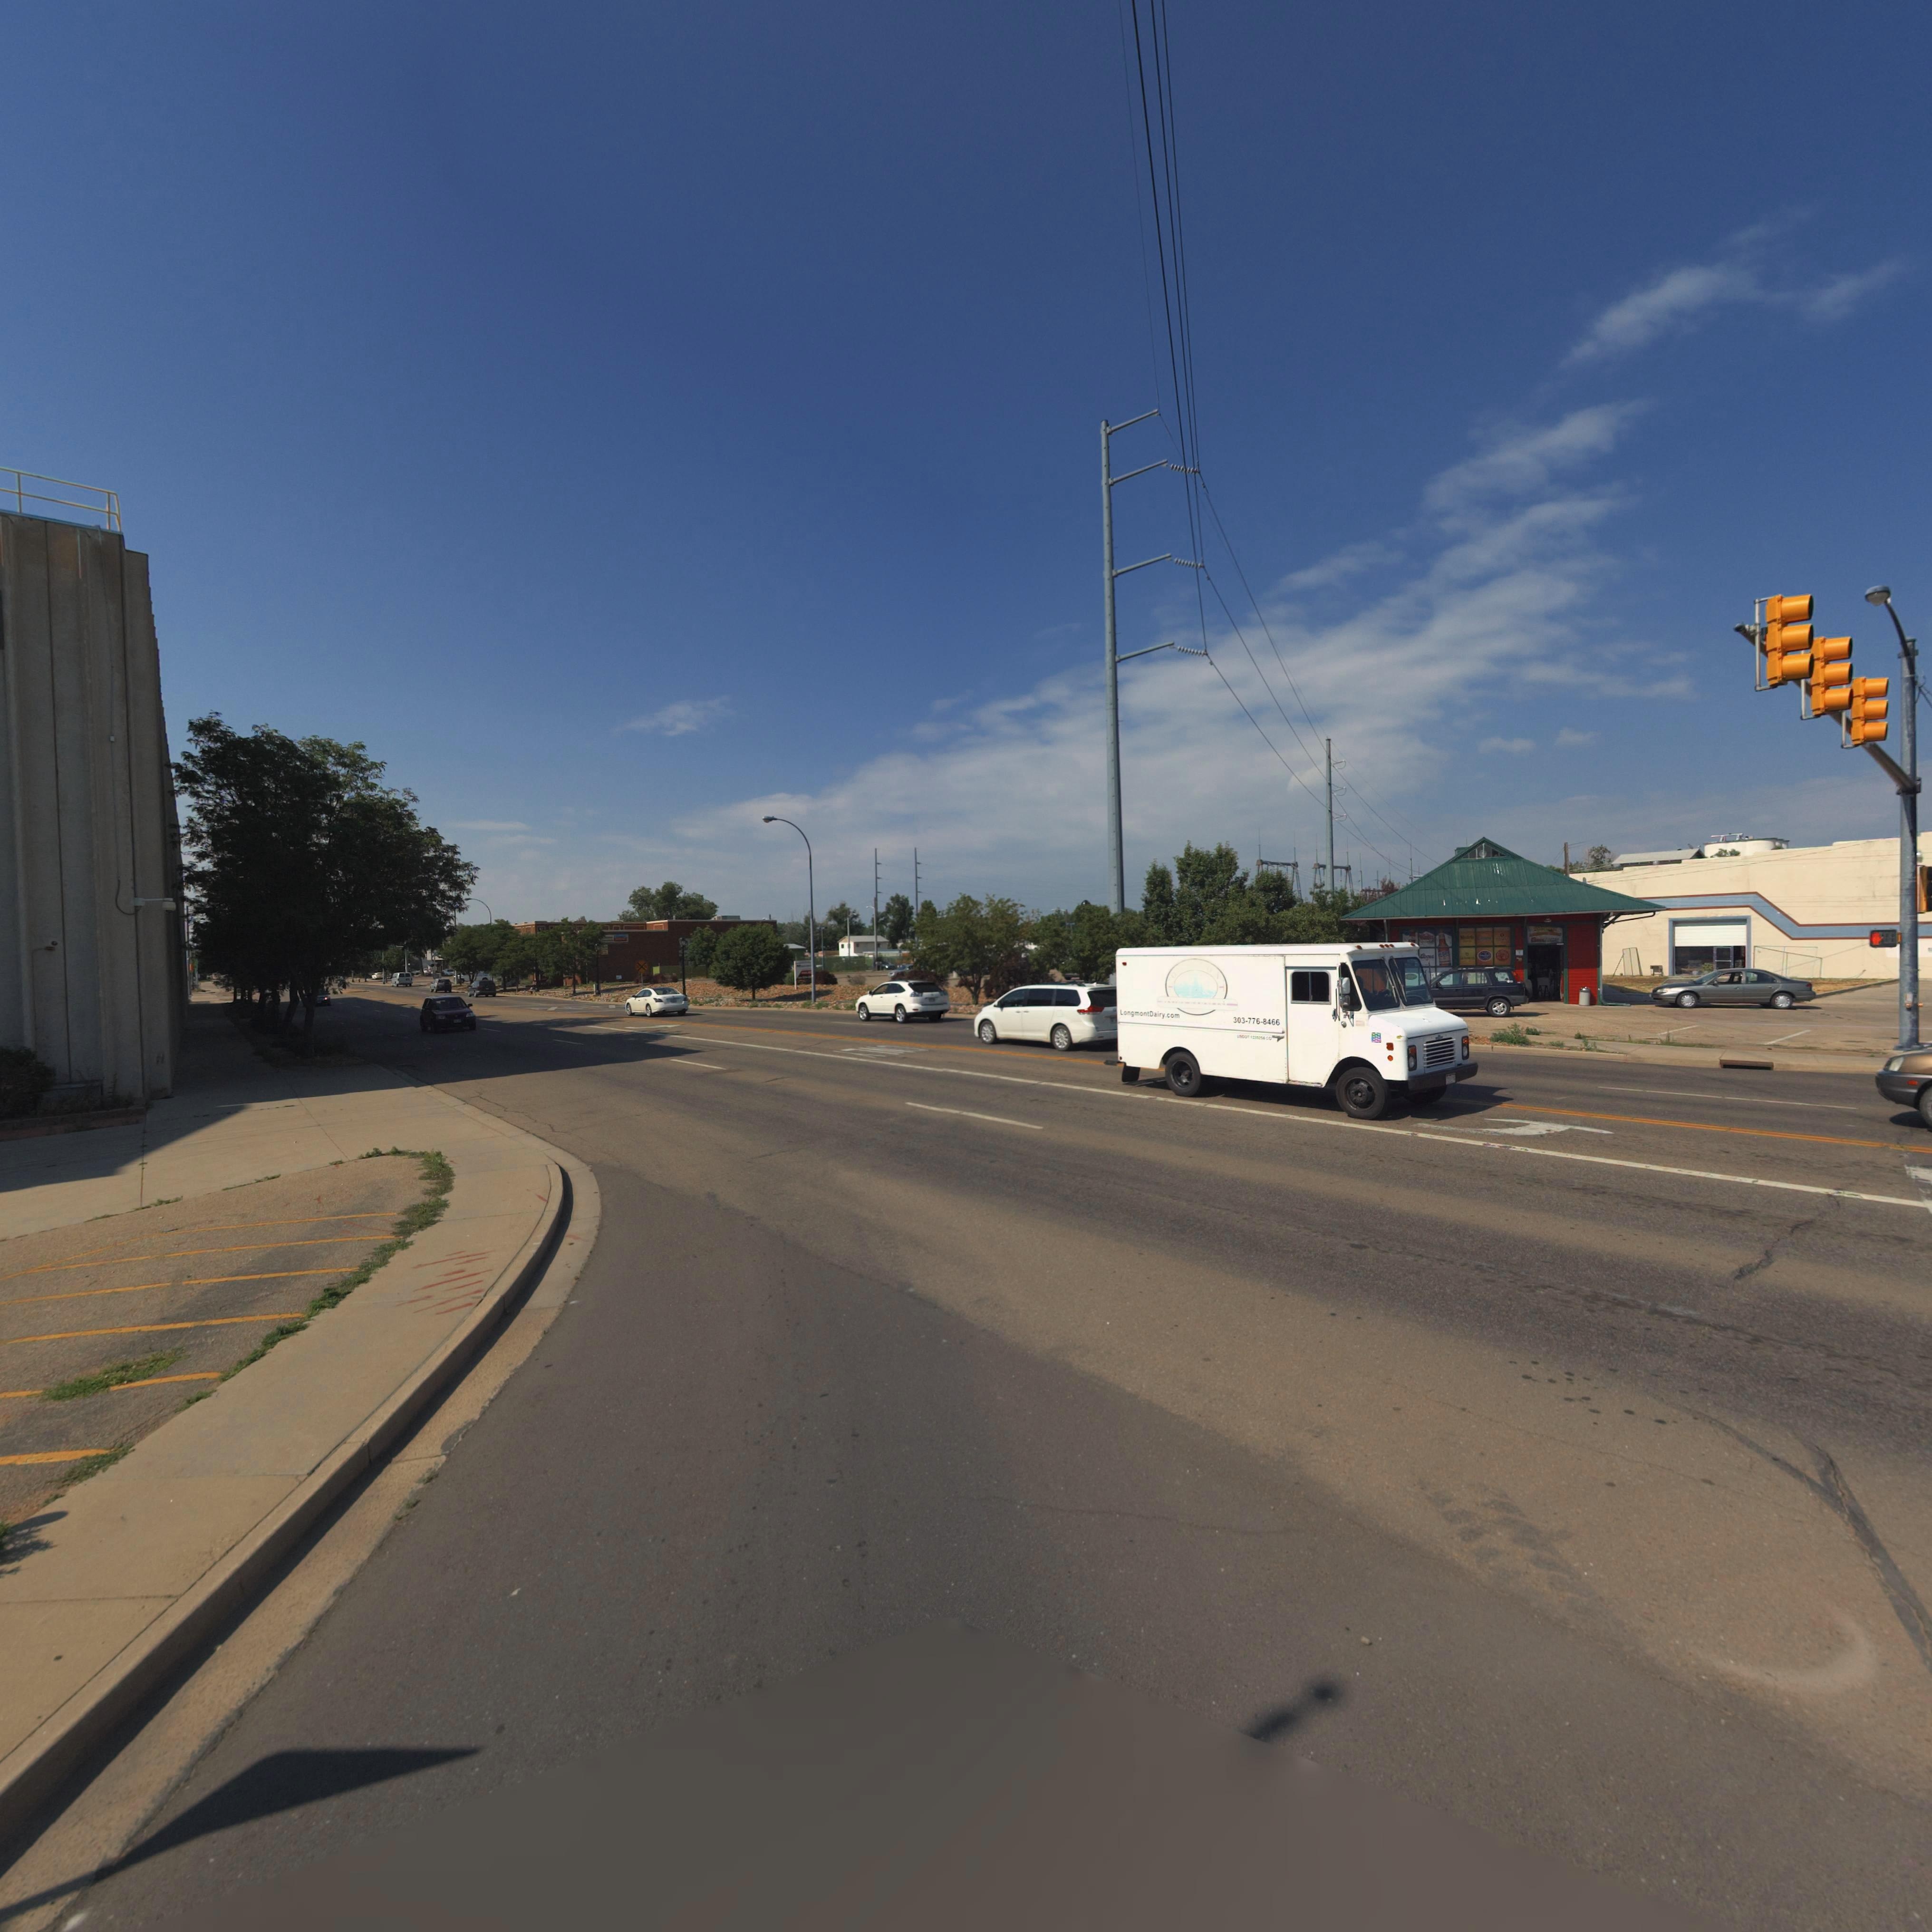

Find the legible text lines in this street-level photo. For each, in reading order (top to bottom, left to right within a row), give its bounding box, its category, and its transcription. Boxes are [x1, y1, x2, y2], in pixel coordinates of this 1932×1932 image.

[602, 935, 613, 939] BusinessName: *heese